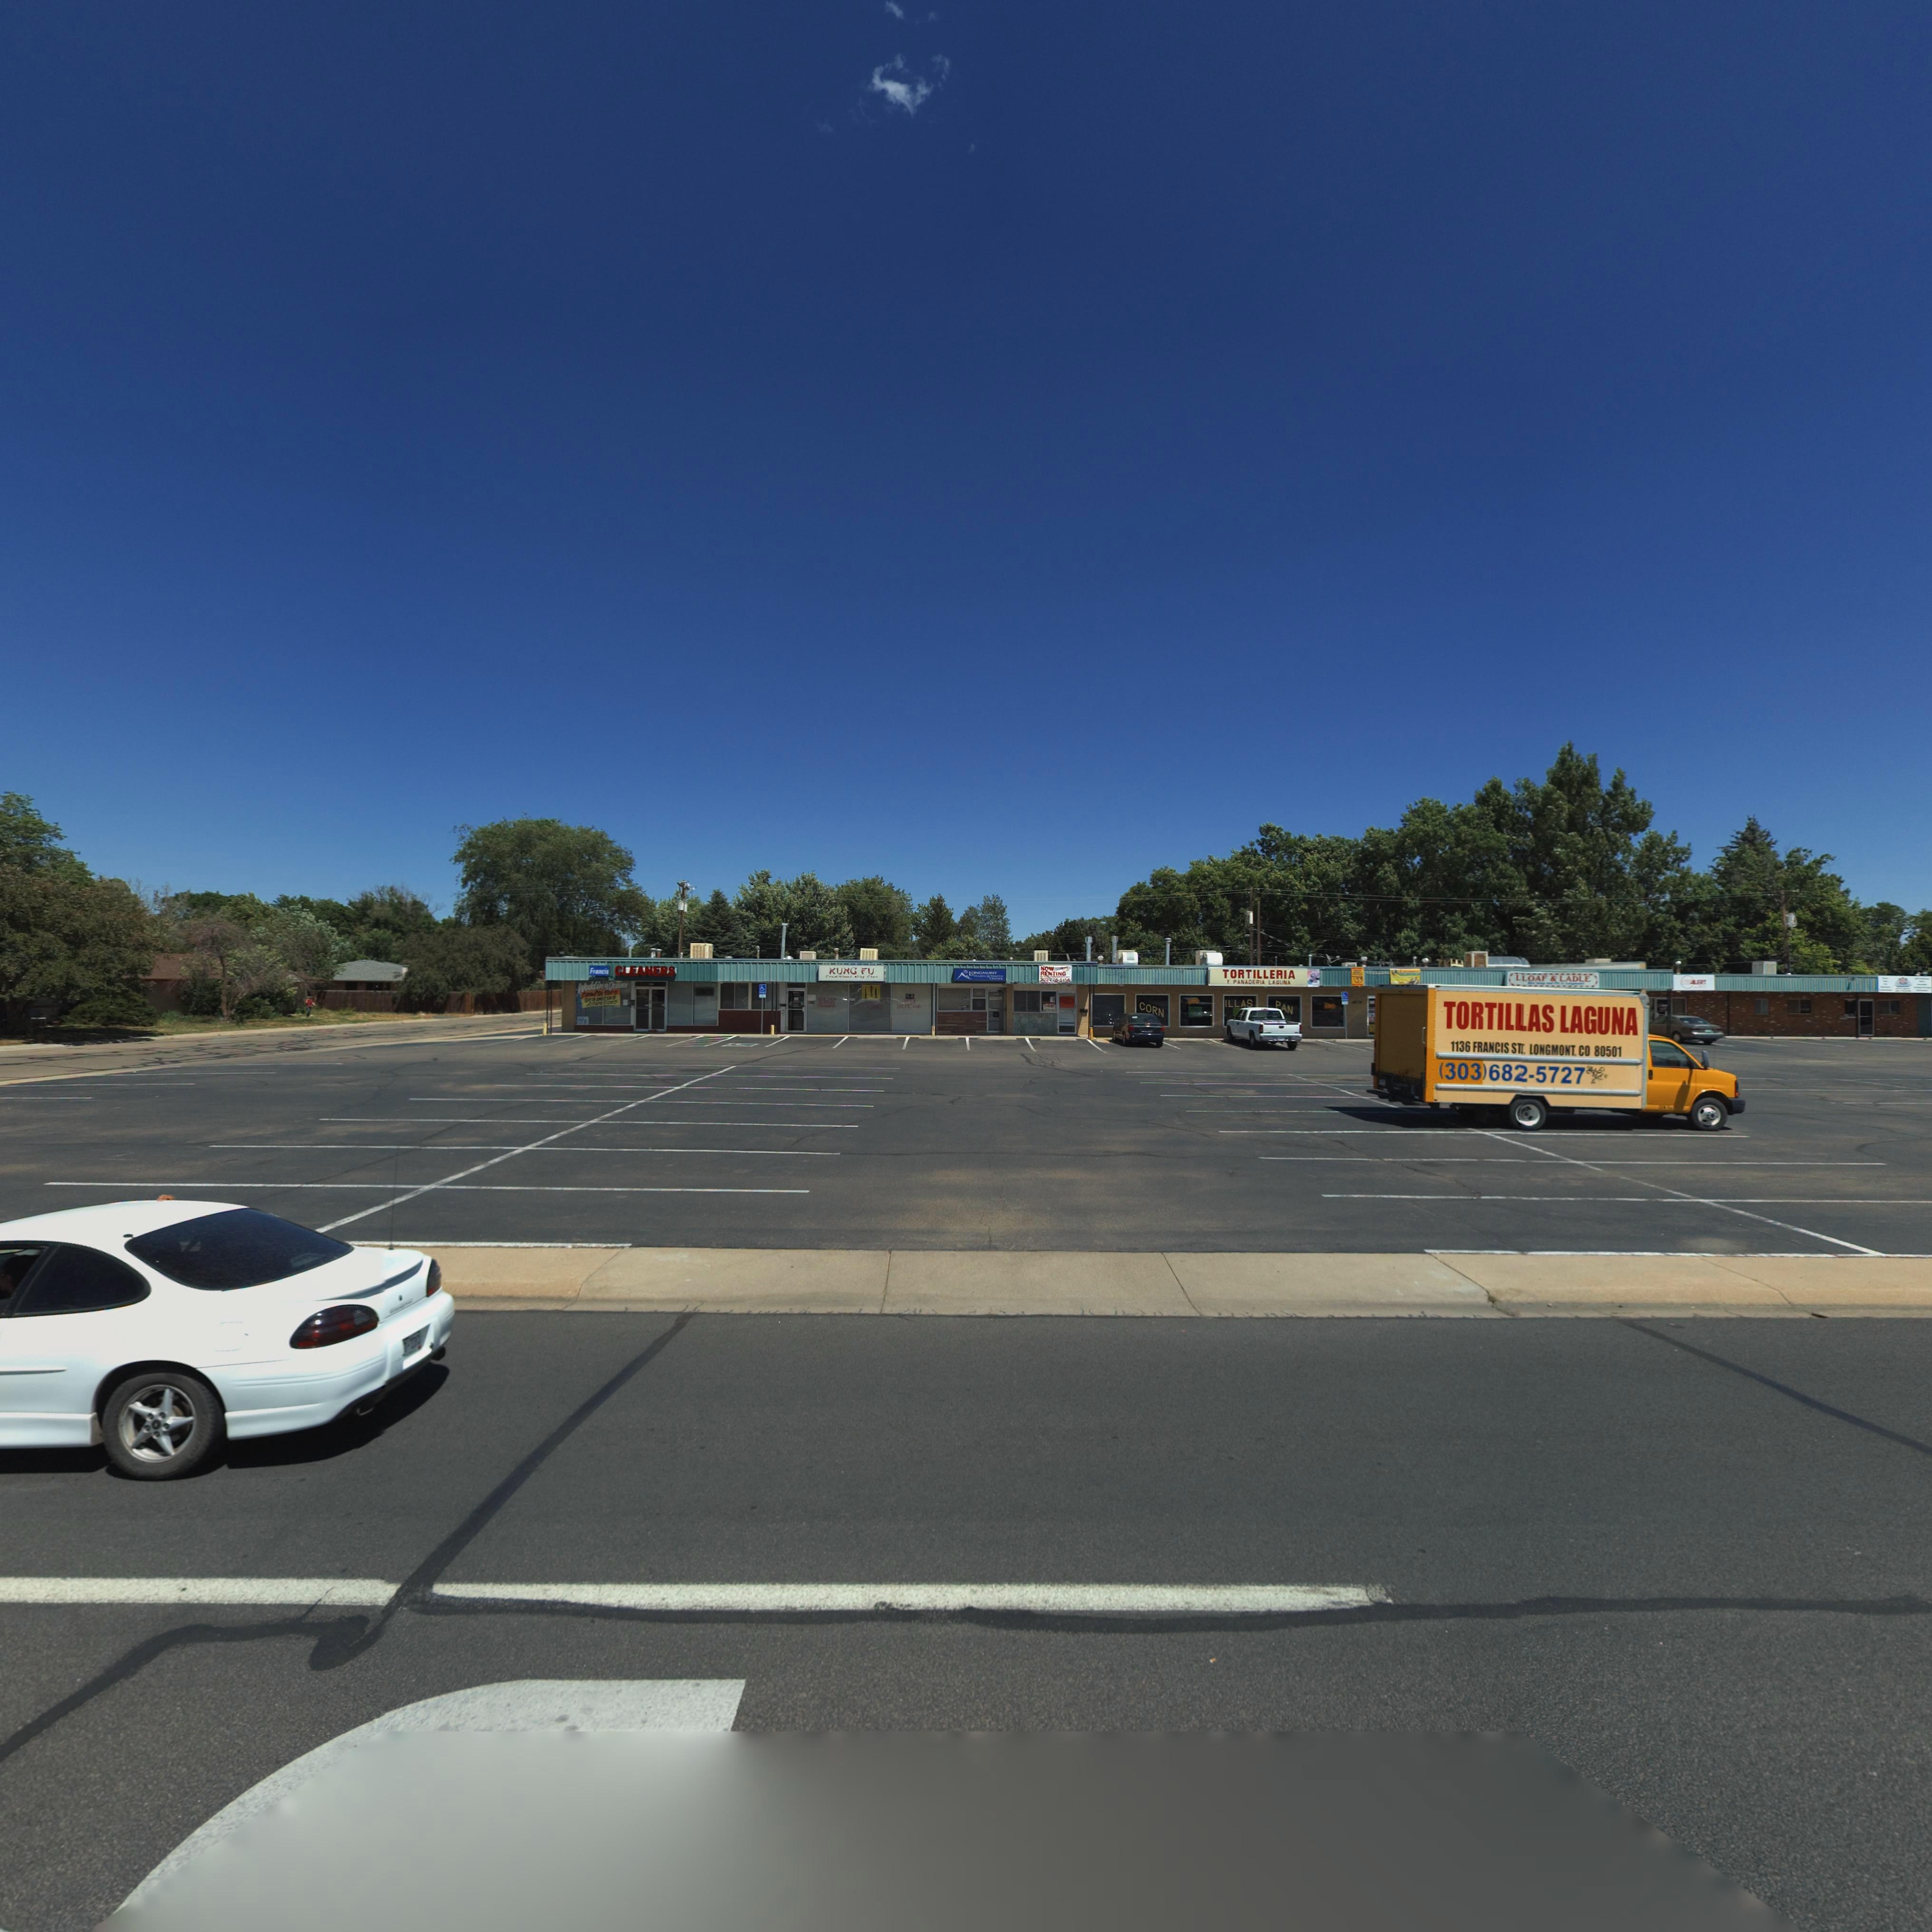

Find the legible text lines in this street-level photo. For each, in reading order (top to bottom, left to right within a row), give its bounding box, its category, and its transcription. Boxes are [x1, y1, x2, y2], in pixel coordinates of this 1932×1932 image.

[589, 967, 609, 974] BusinessName: F***cis
[614, 965, 675, 976] BusinessName: CLEANERS
[829, 967, 874, 975] BusinessName: KUNG FU
[968, 971, 997, 976] BusinessName: LONGMONT
[1222, 969, 1295, 979] BusinessName: TORTILLERIA
[1516, 974, 1590, 982] BusinessName: LLOAF & LADLE
[1227, 980, 1291, 985] BusinessName: Y PANADERIA LAGUNA
[1690, 979, 1706, 985] BusinessName: ALERT